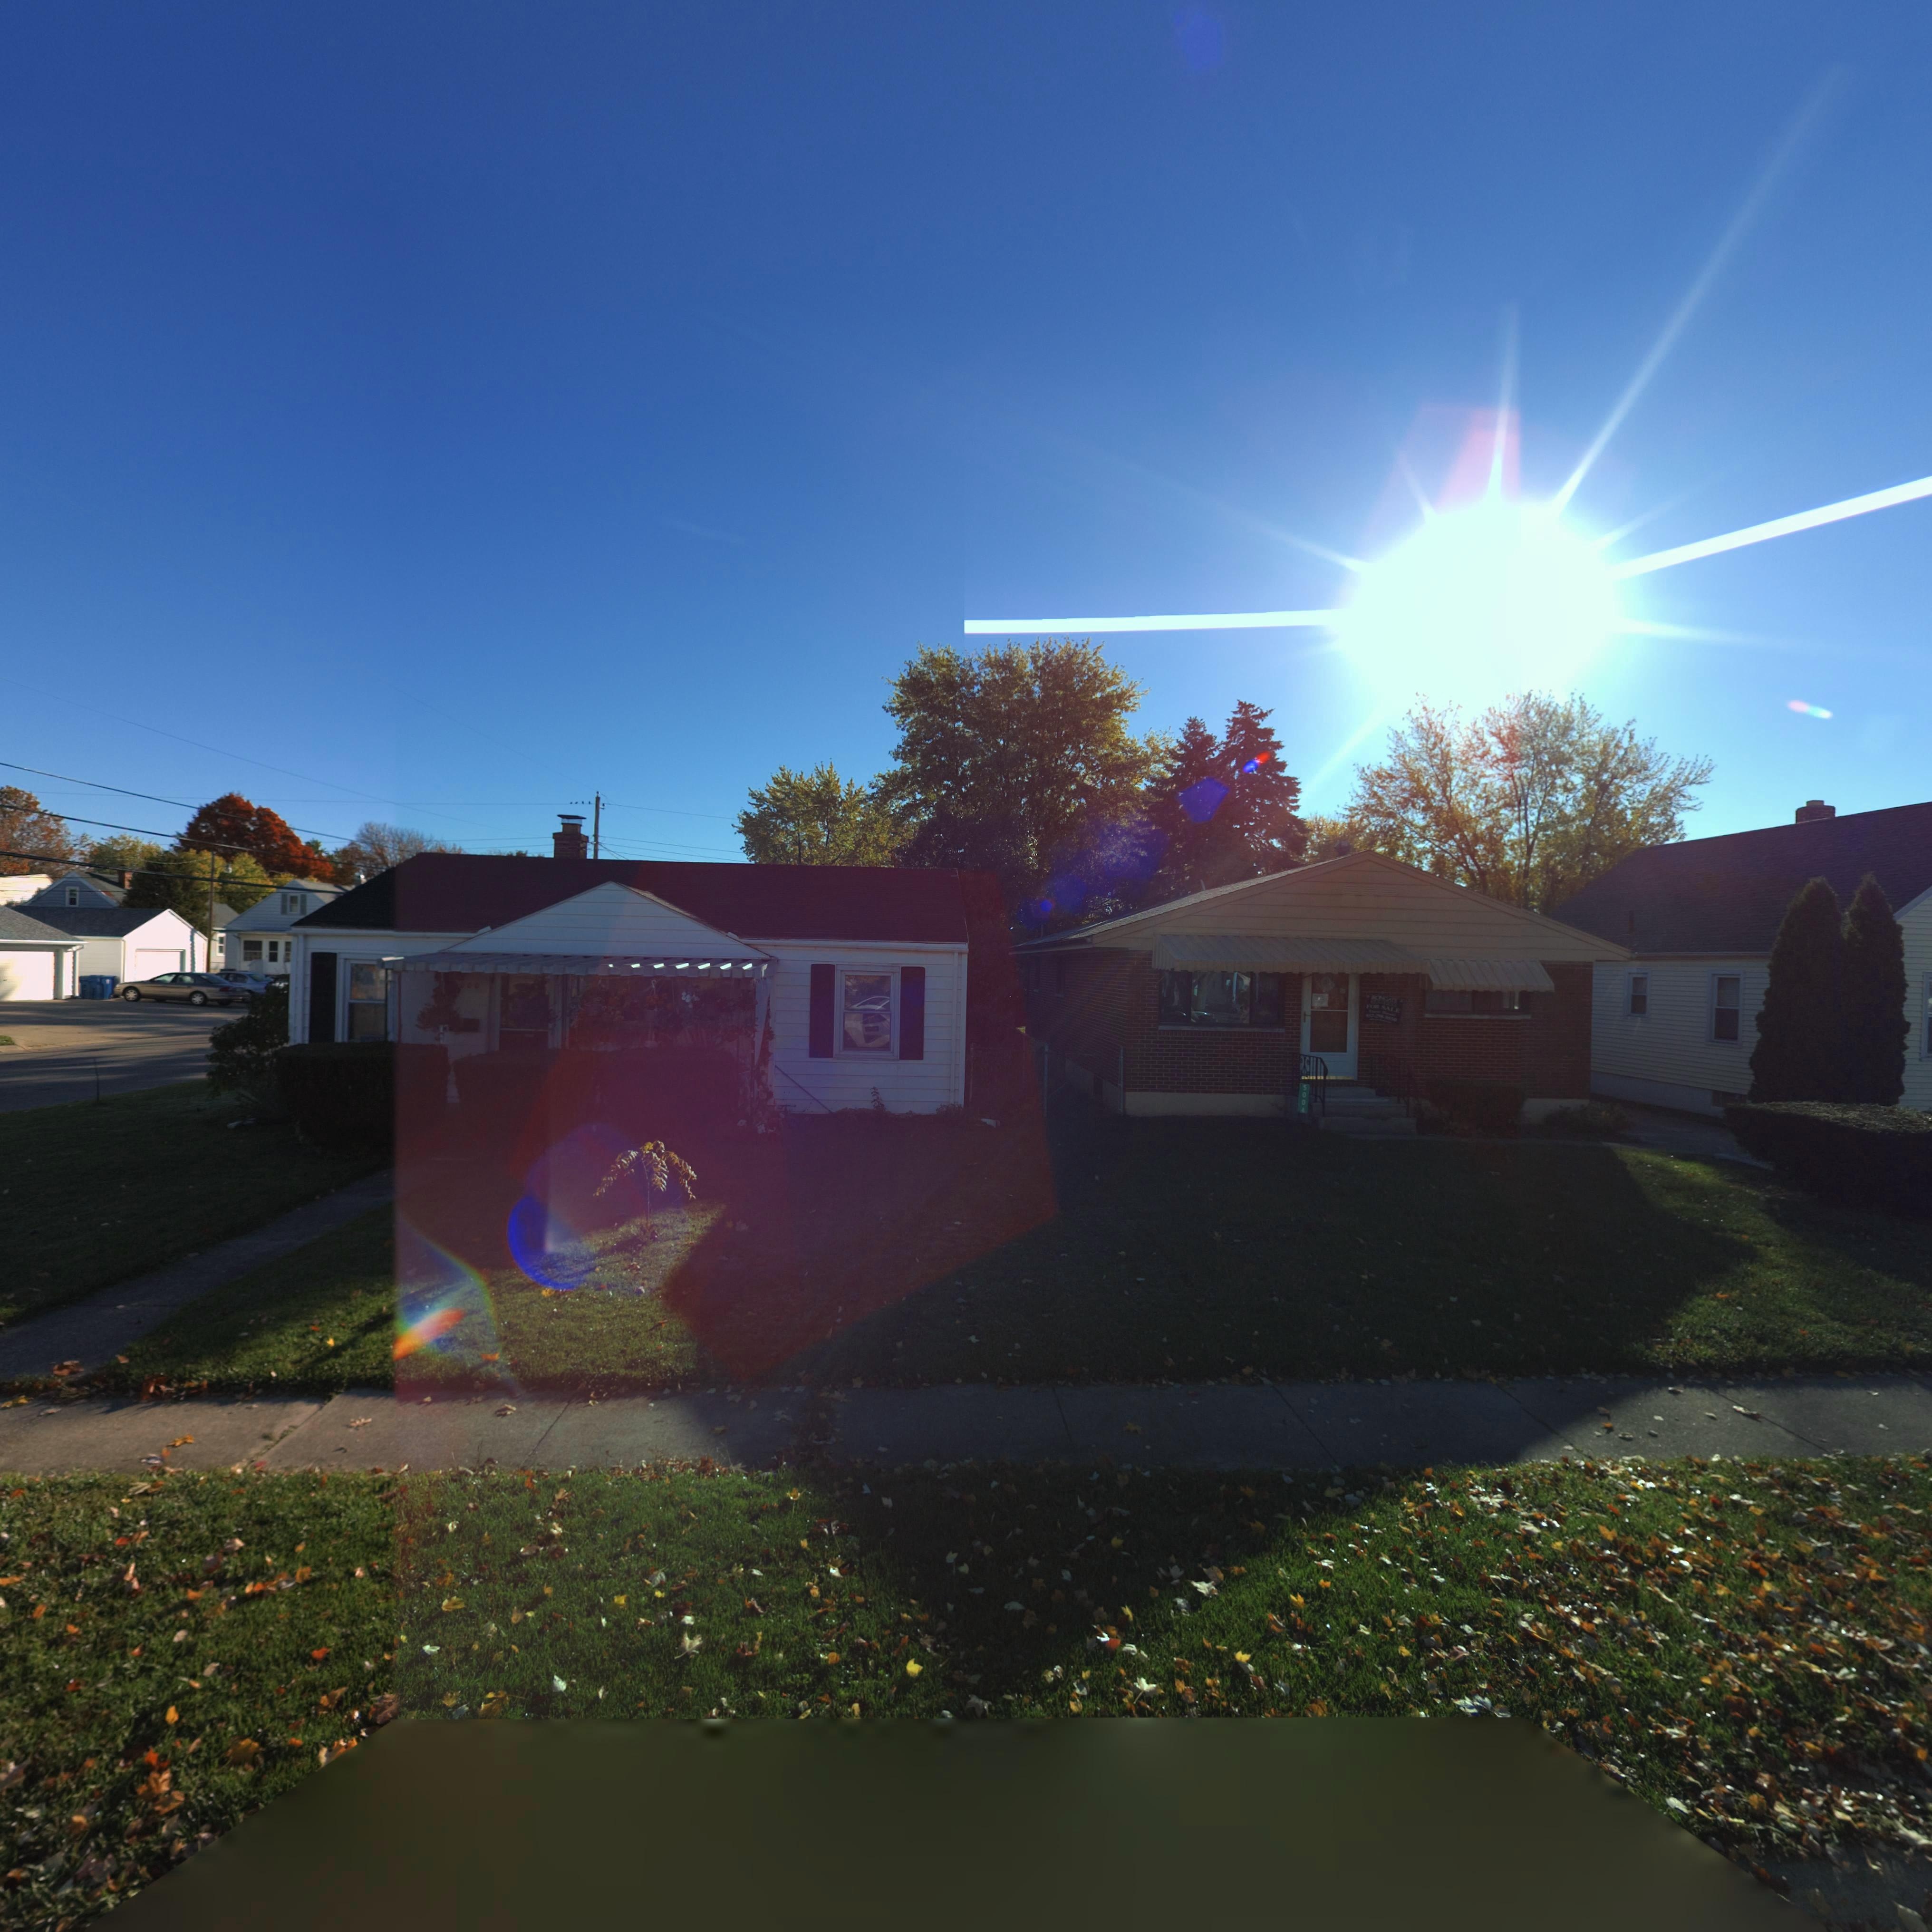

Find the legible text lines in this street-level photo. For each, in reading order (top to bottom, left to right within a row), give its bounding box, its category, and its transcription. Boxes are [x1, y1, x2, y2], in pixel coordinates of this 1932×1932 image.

[458, 981, 481, 990] StreetNumber: 000
[1300, 1084, 1307, 1113] StreetNumber: 5004